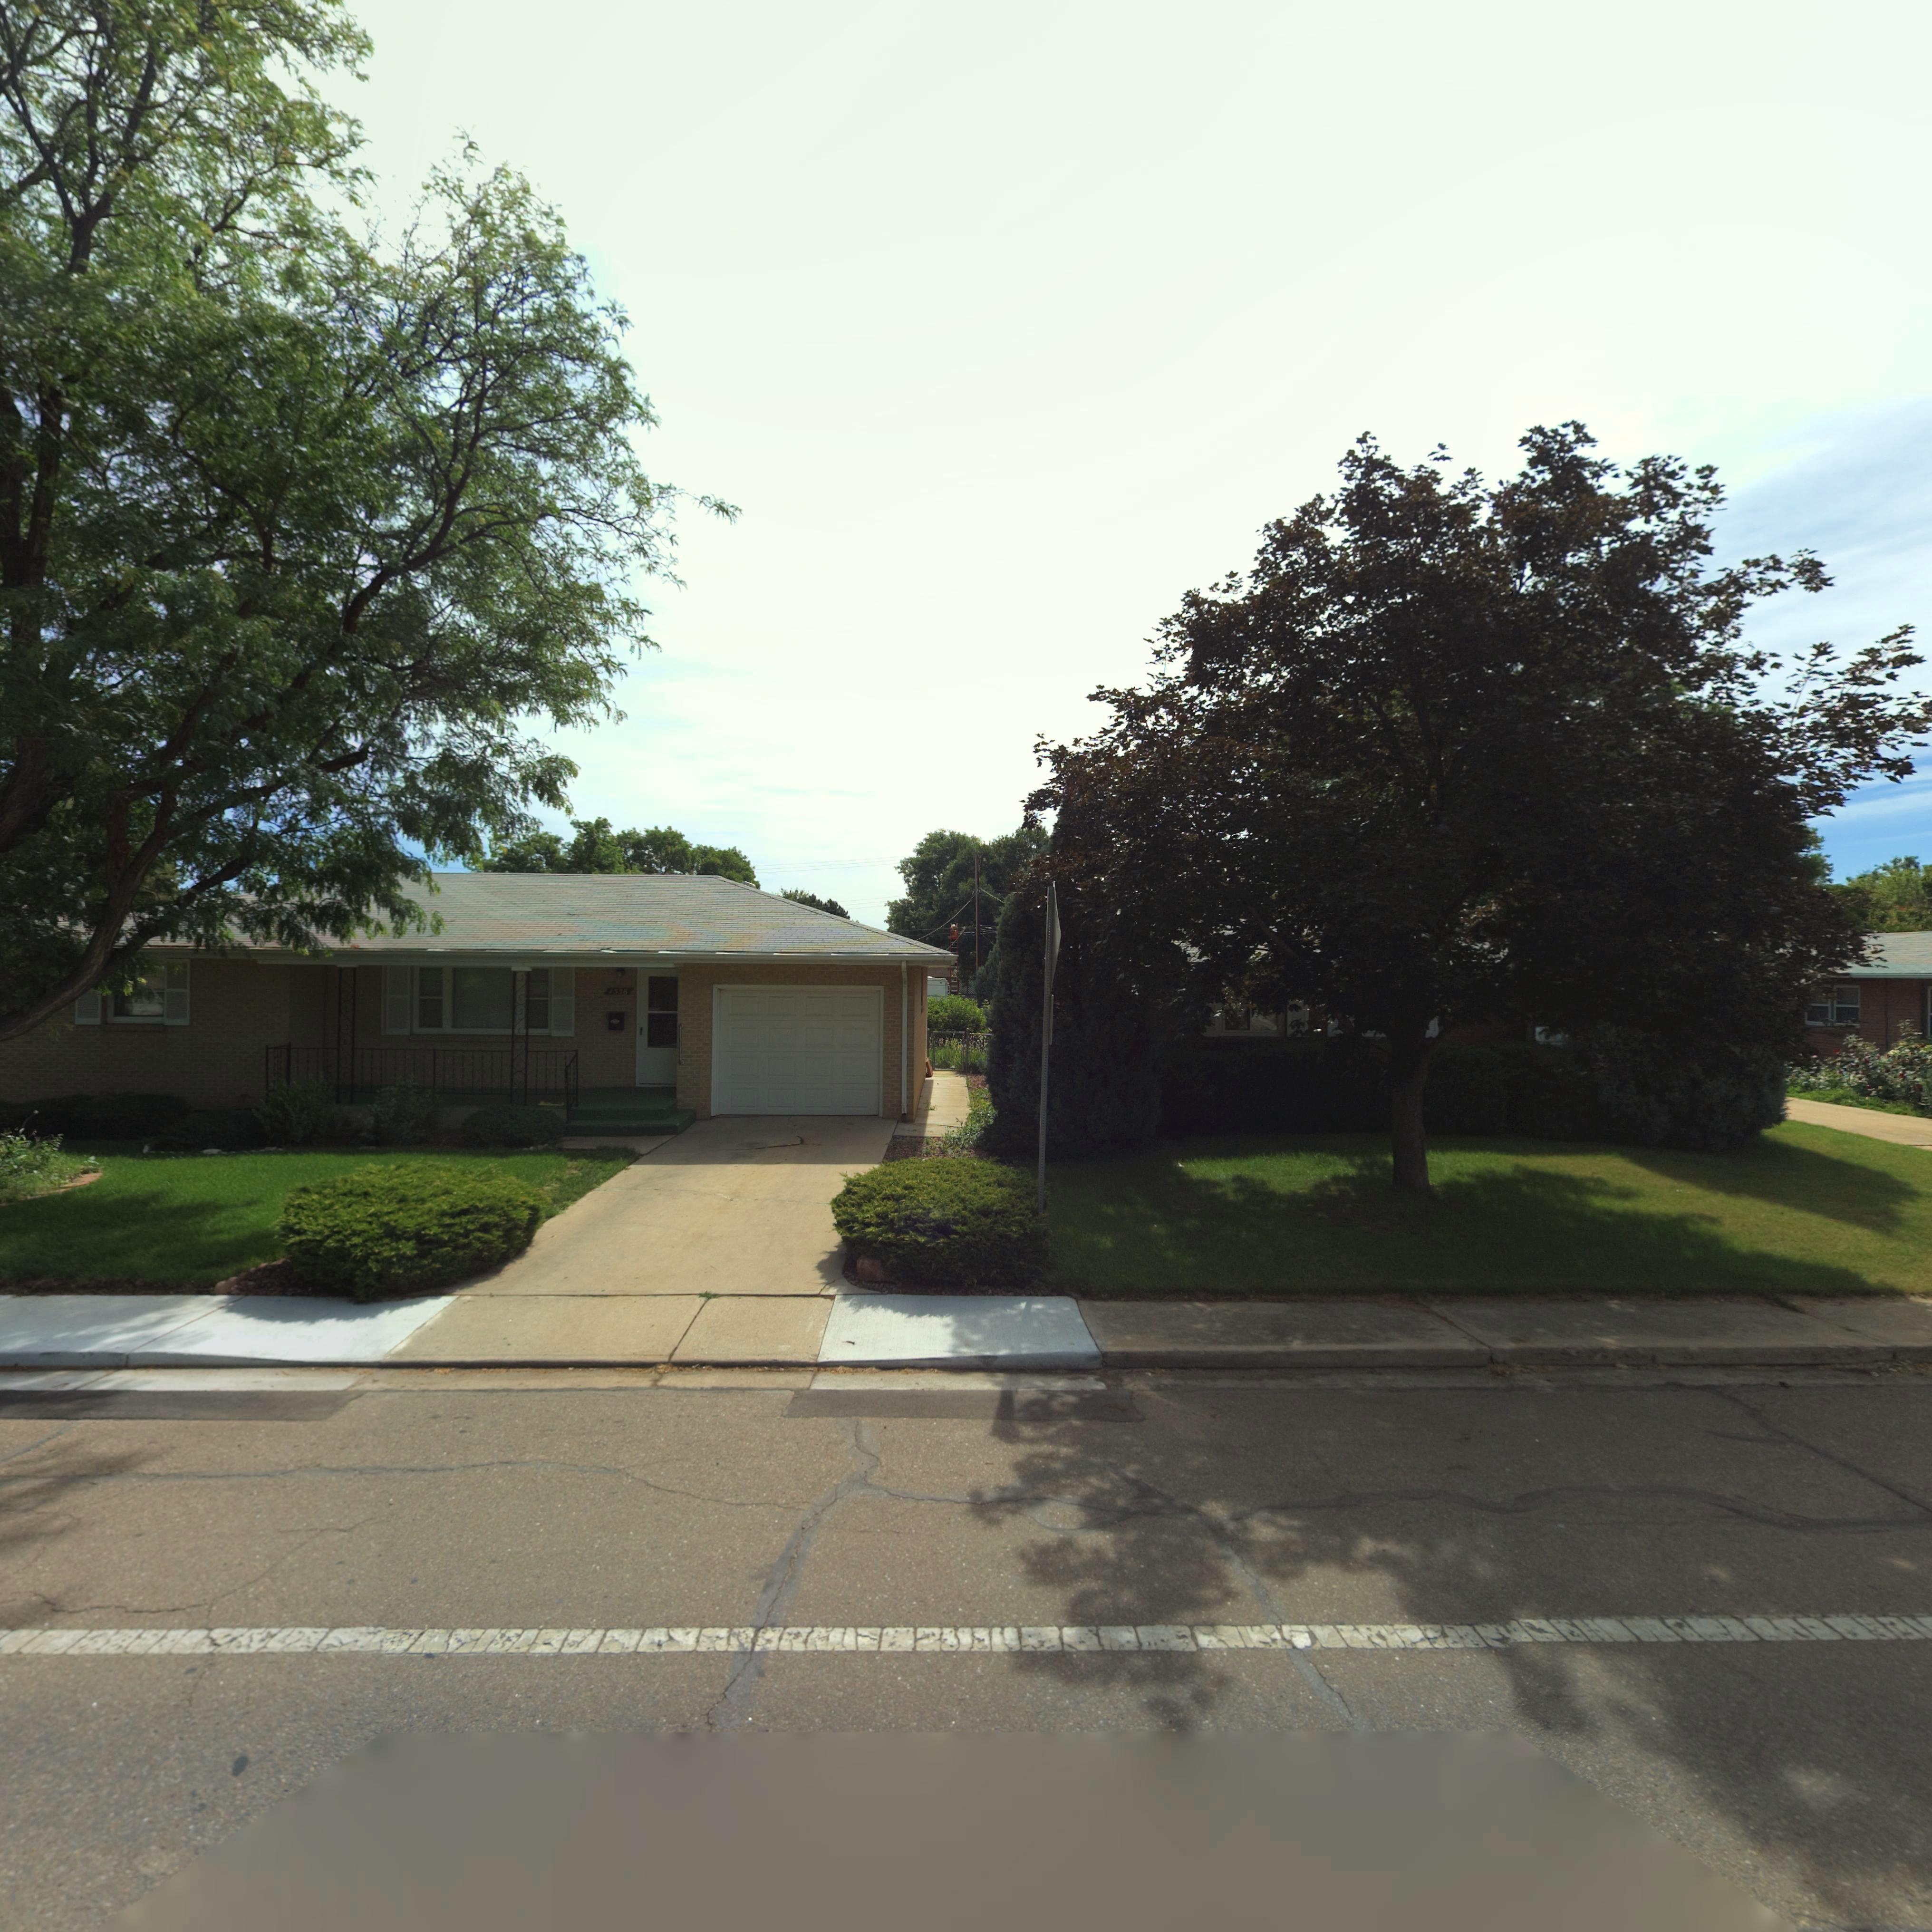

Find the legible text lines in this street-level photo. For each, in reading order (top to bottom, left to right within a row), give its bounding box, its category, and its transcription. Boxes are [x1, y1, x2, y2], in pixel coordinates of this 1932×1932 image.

[608, 987, 628, 995] StreetNumber: 1538